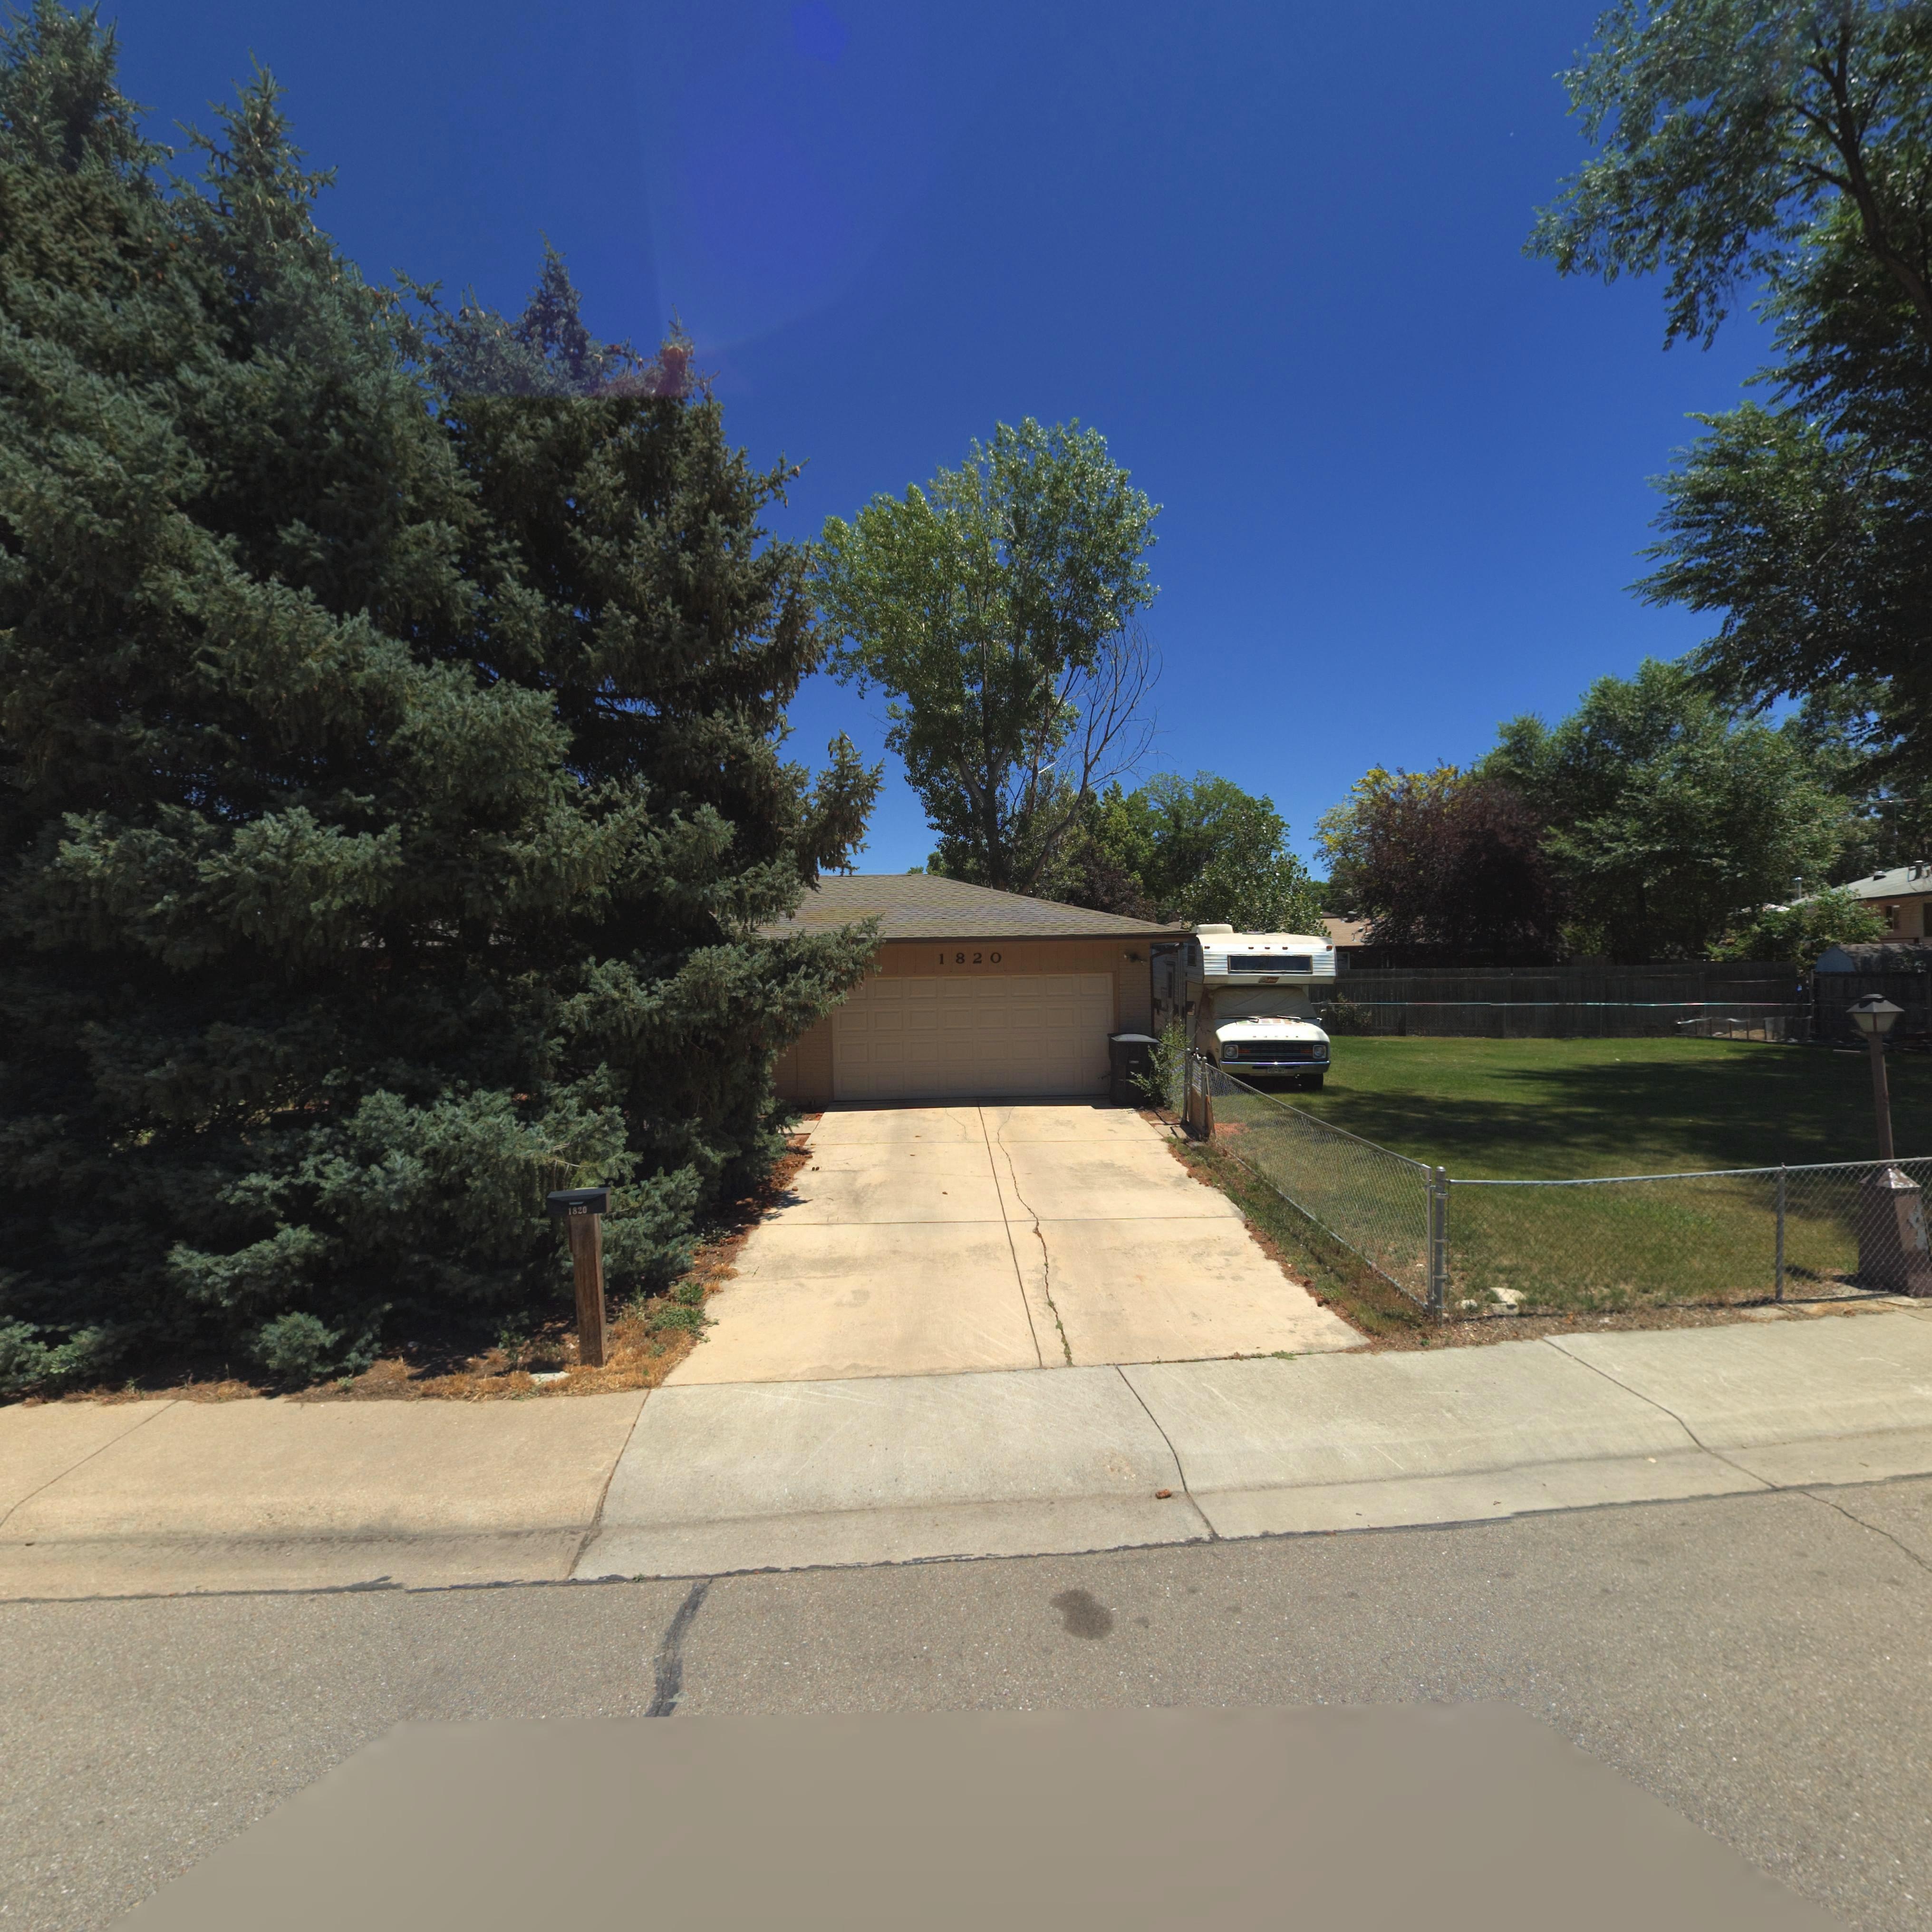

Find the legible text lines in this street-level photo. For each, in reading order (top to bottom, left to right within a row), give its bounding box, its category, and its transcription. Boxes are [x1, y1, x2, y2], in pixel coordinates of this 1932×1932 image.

[938, 952, 1002, 965] StreetNumber: 1820
[568, 1205, 588, 1215] StreetNumber: 1820